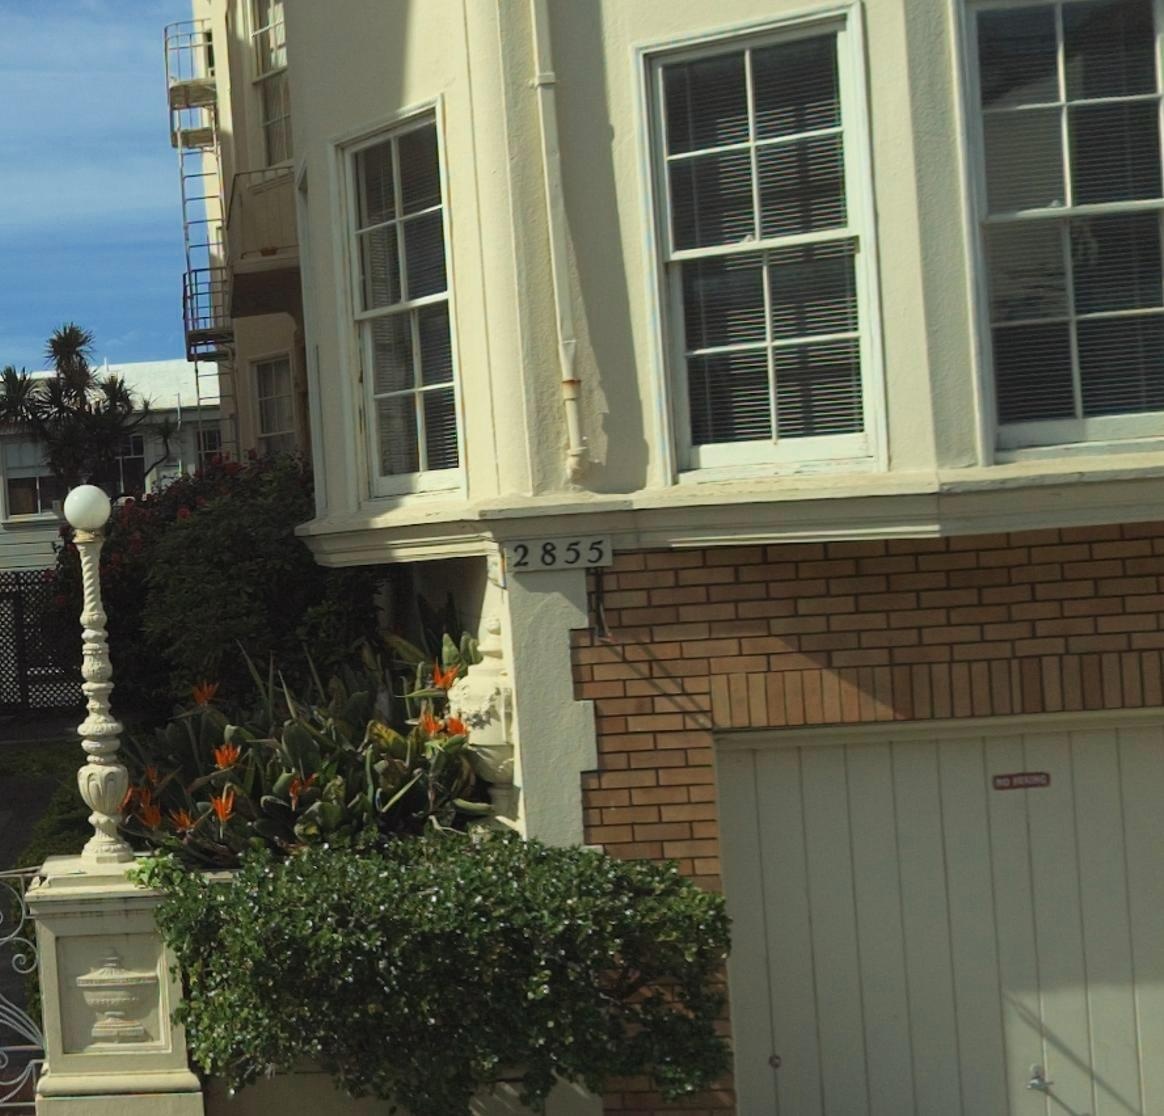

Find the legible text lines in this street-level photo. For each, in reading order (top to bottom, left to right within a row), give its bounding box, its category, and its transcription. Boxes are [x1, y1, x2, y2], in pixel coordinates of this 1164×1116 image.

[512, 537, 604, 569] StreetNumber: 2855